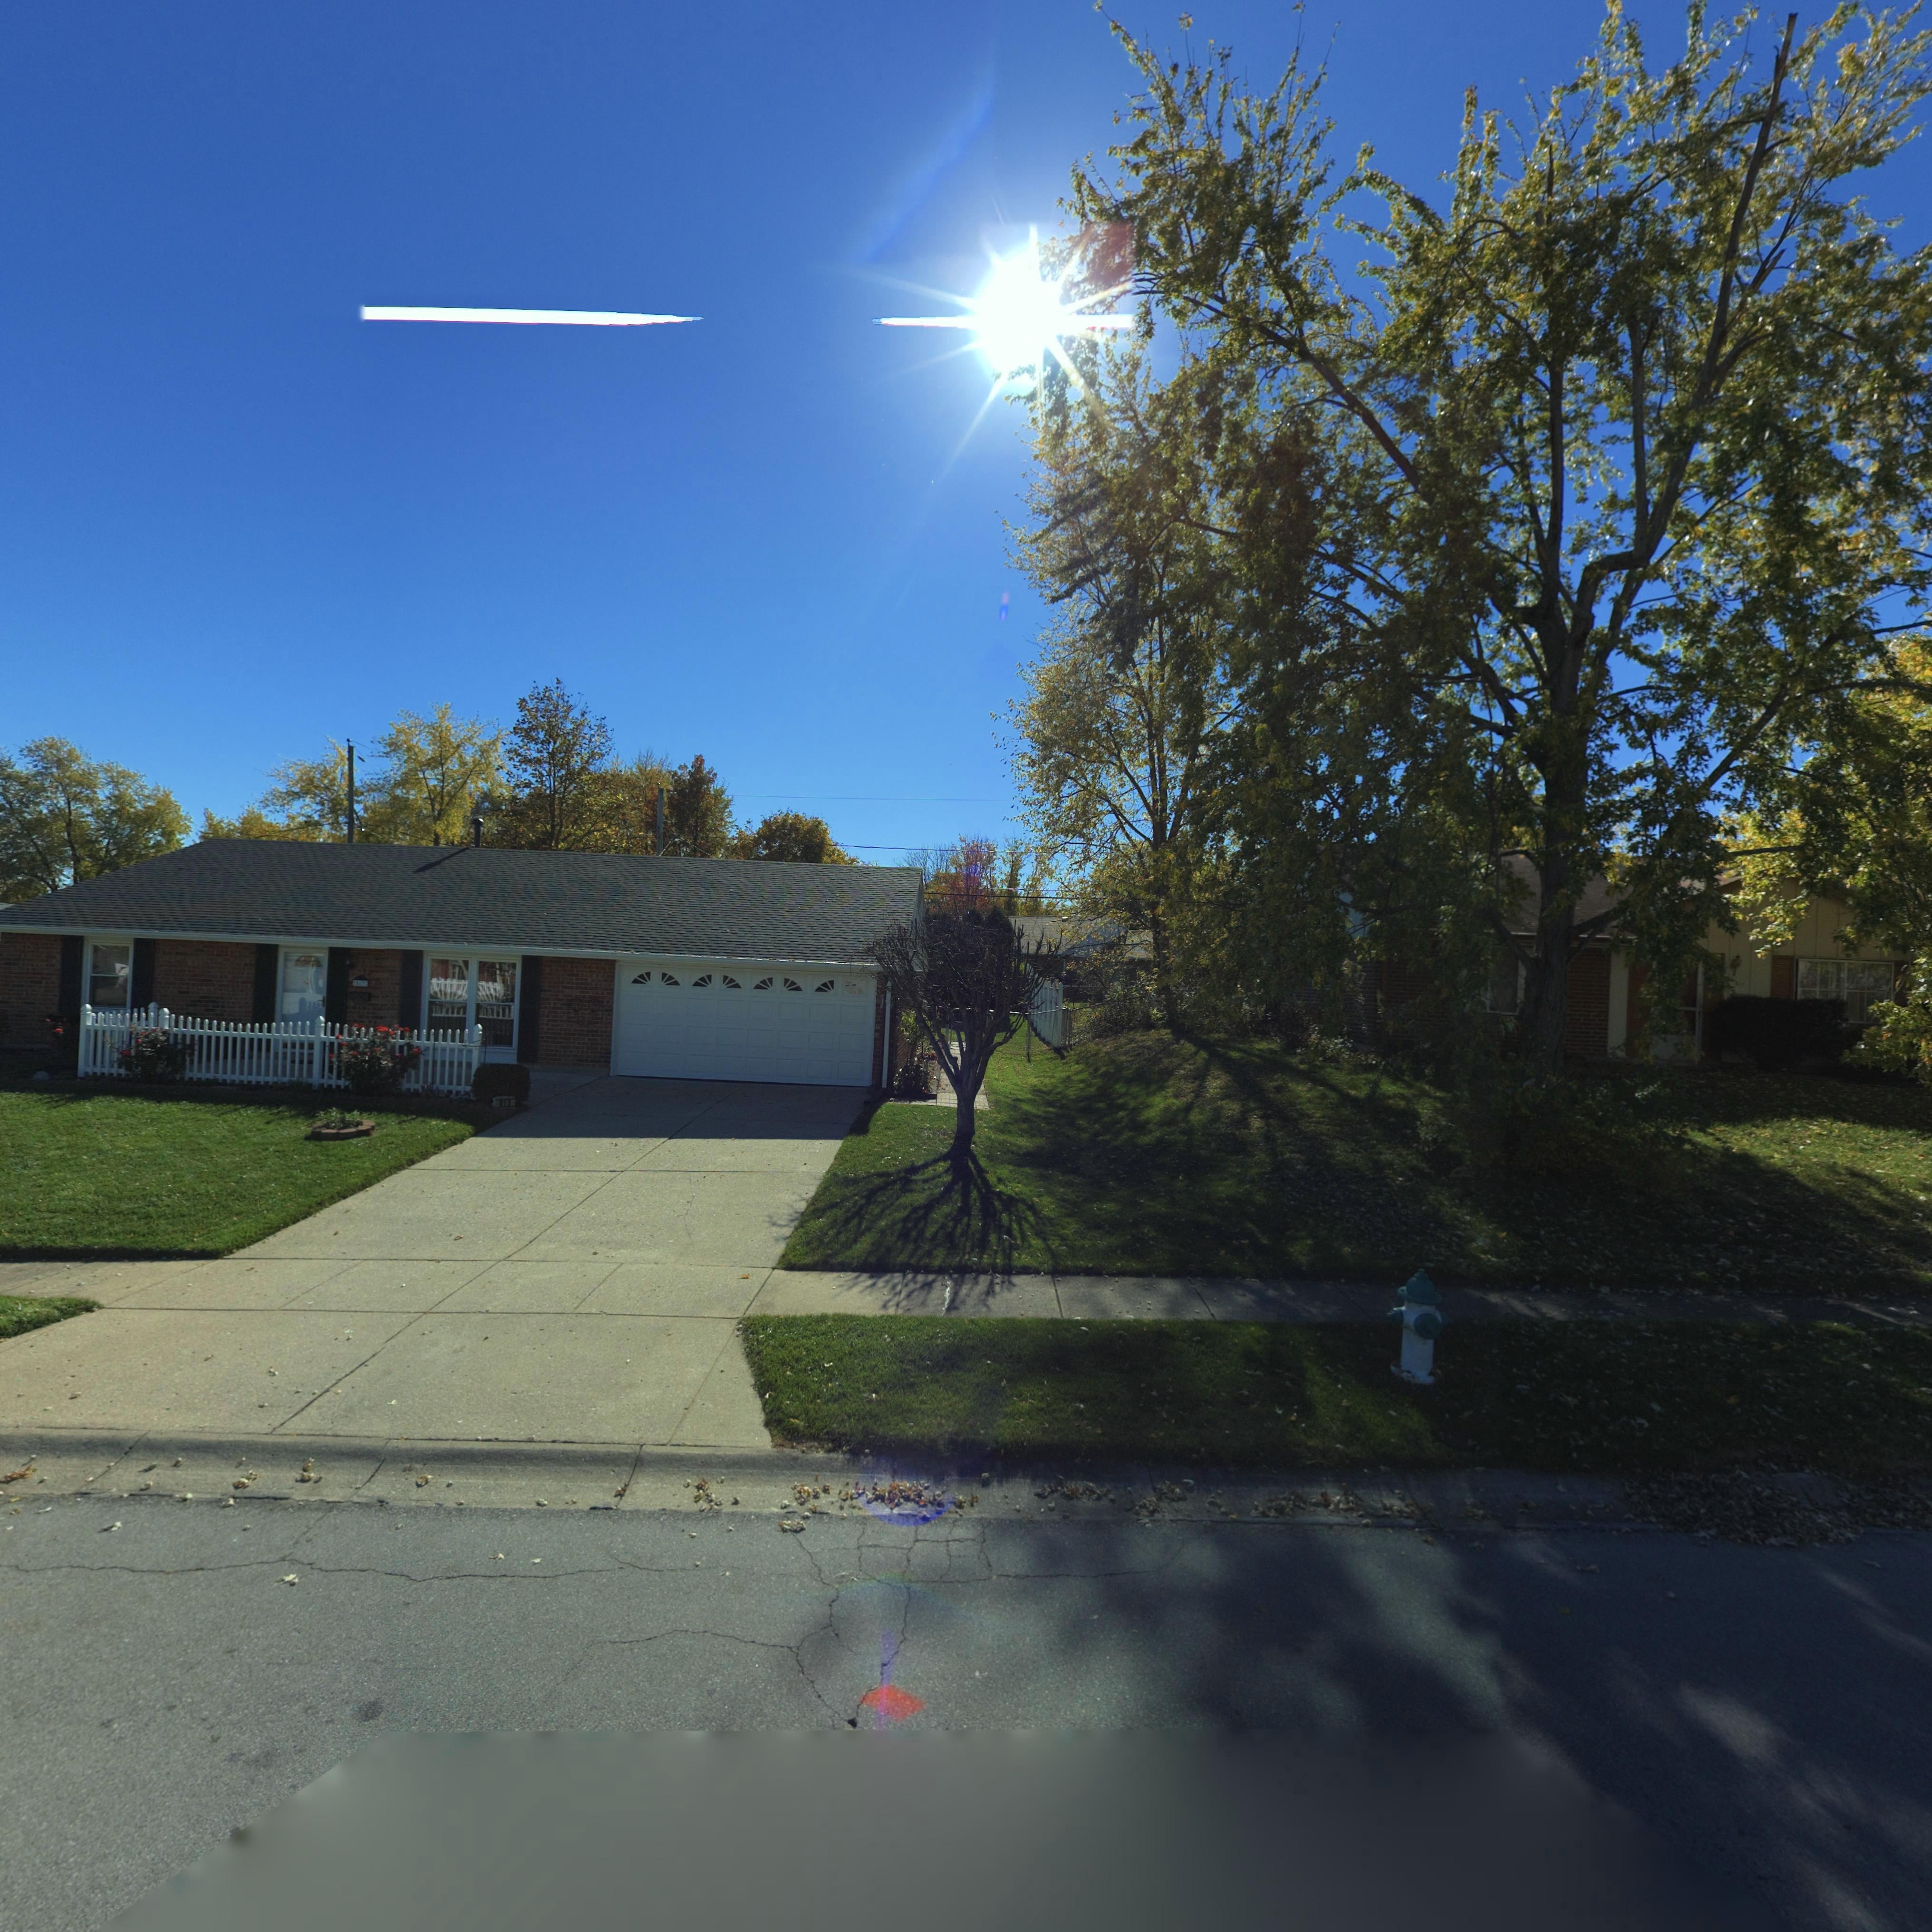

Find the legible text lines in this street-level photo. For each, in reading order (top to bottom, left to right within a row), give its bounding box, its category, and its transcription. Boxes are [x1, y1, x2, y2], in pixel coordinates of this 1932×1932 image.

[356, 980, 365, 986] StreetNumber: 813
[499, 1099, 512, 1108] StreetNumber: 813